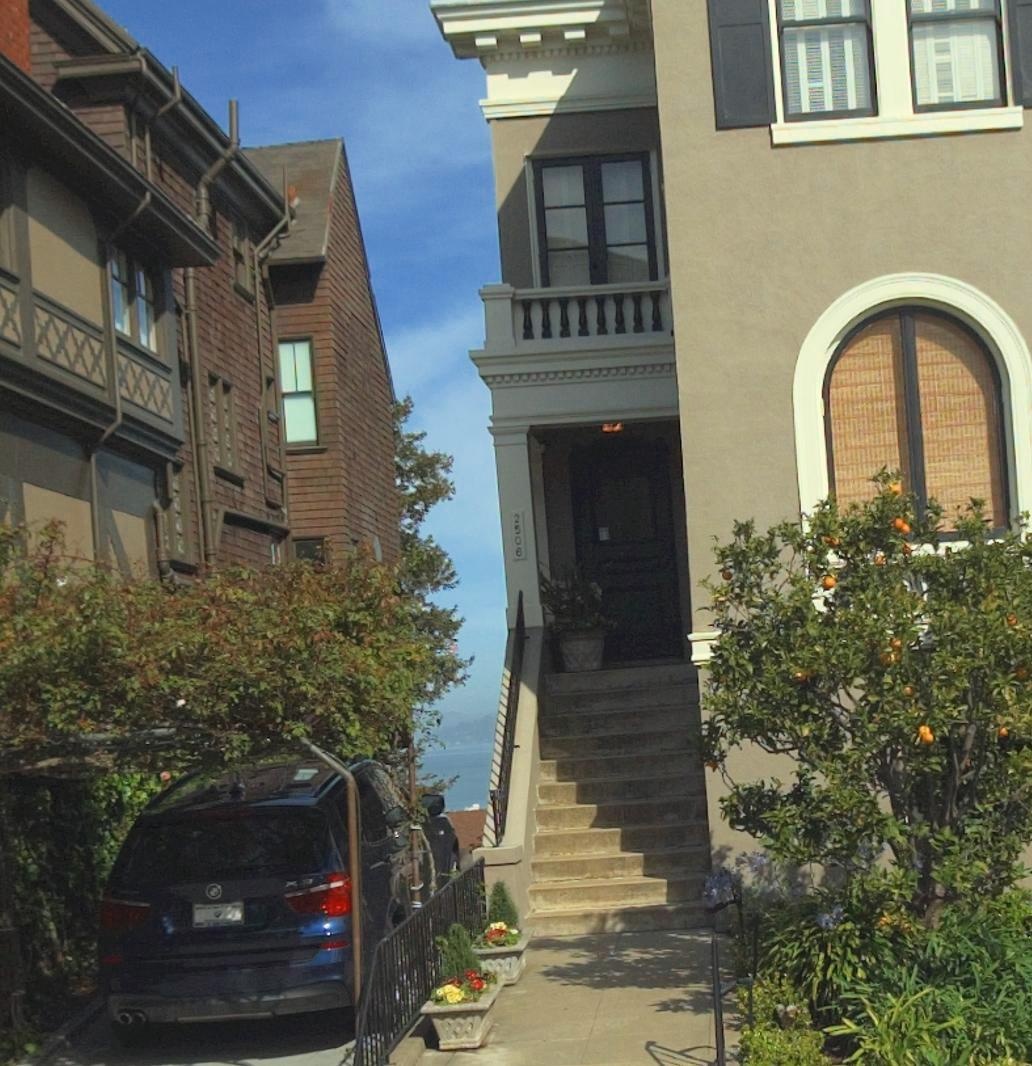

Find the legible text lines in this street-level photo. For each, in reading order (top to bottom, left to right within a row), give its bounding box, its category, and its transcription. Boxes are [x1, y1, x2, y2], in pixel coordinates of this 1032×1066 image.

[512, 512, 525, 560] StreetNumber: 2506